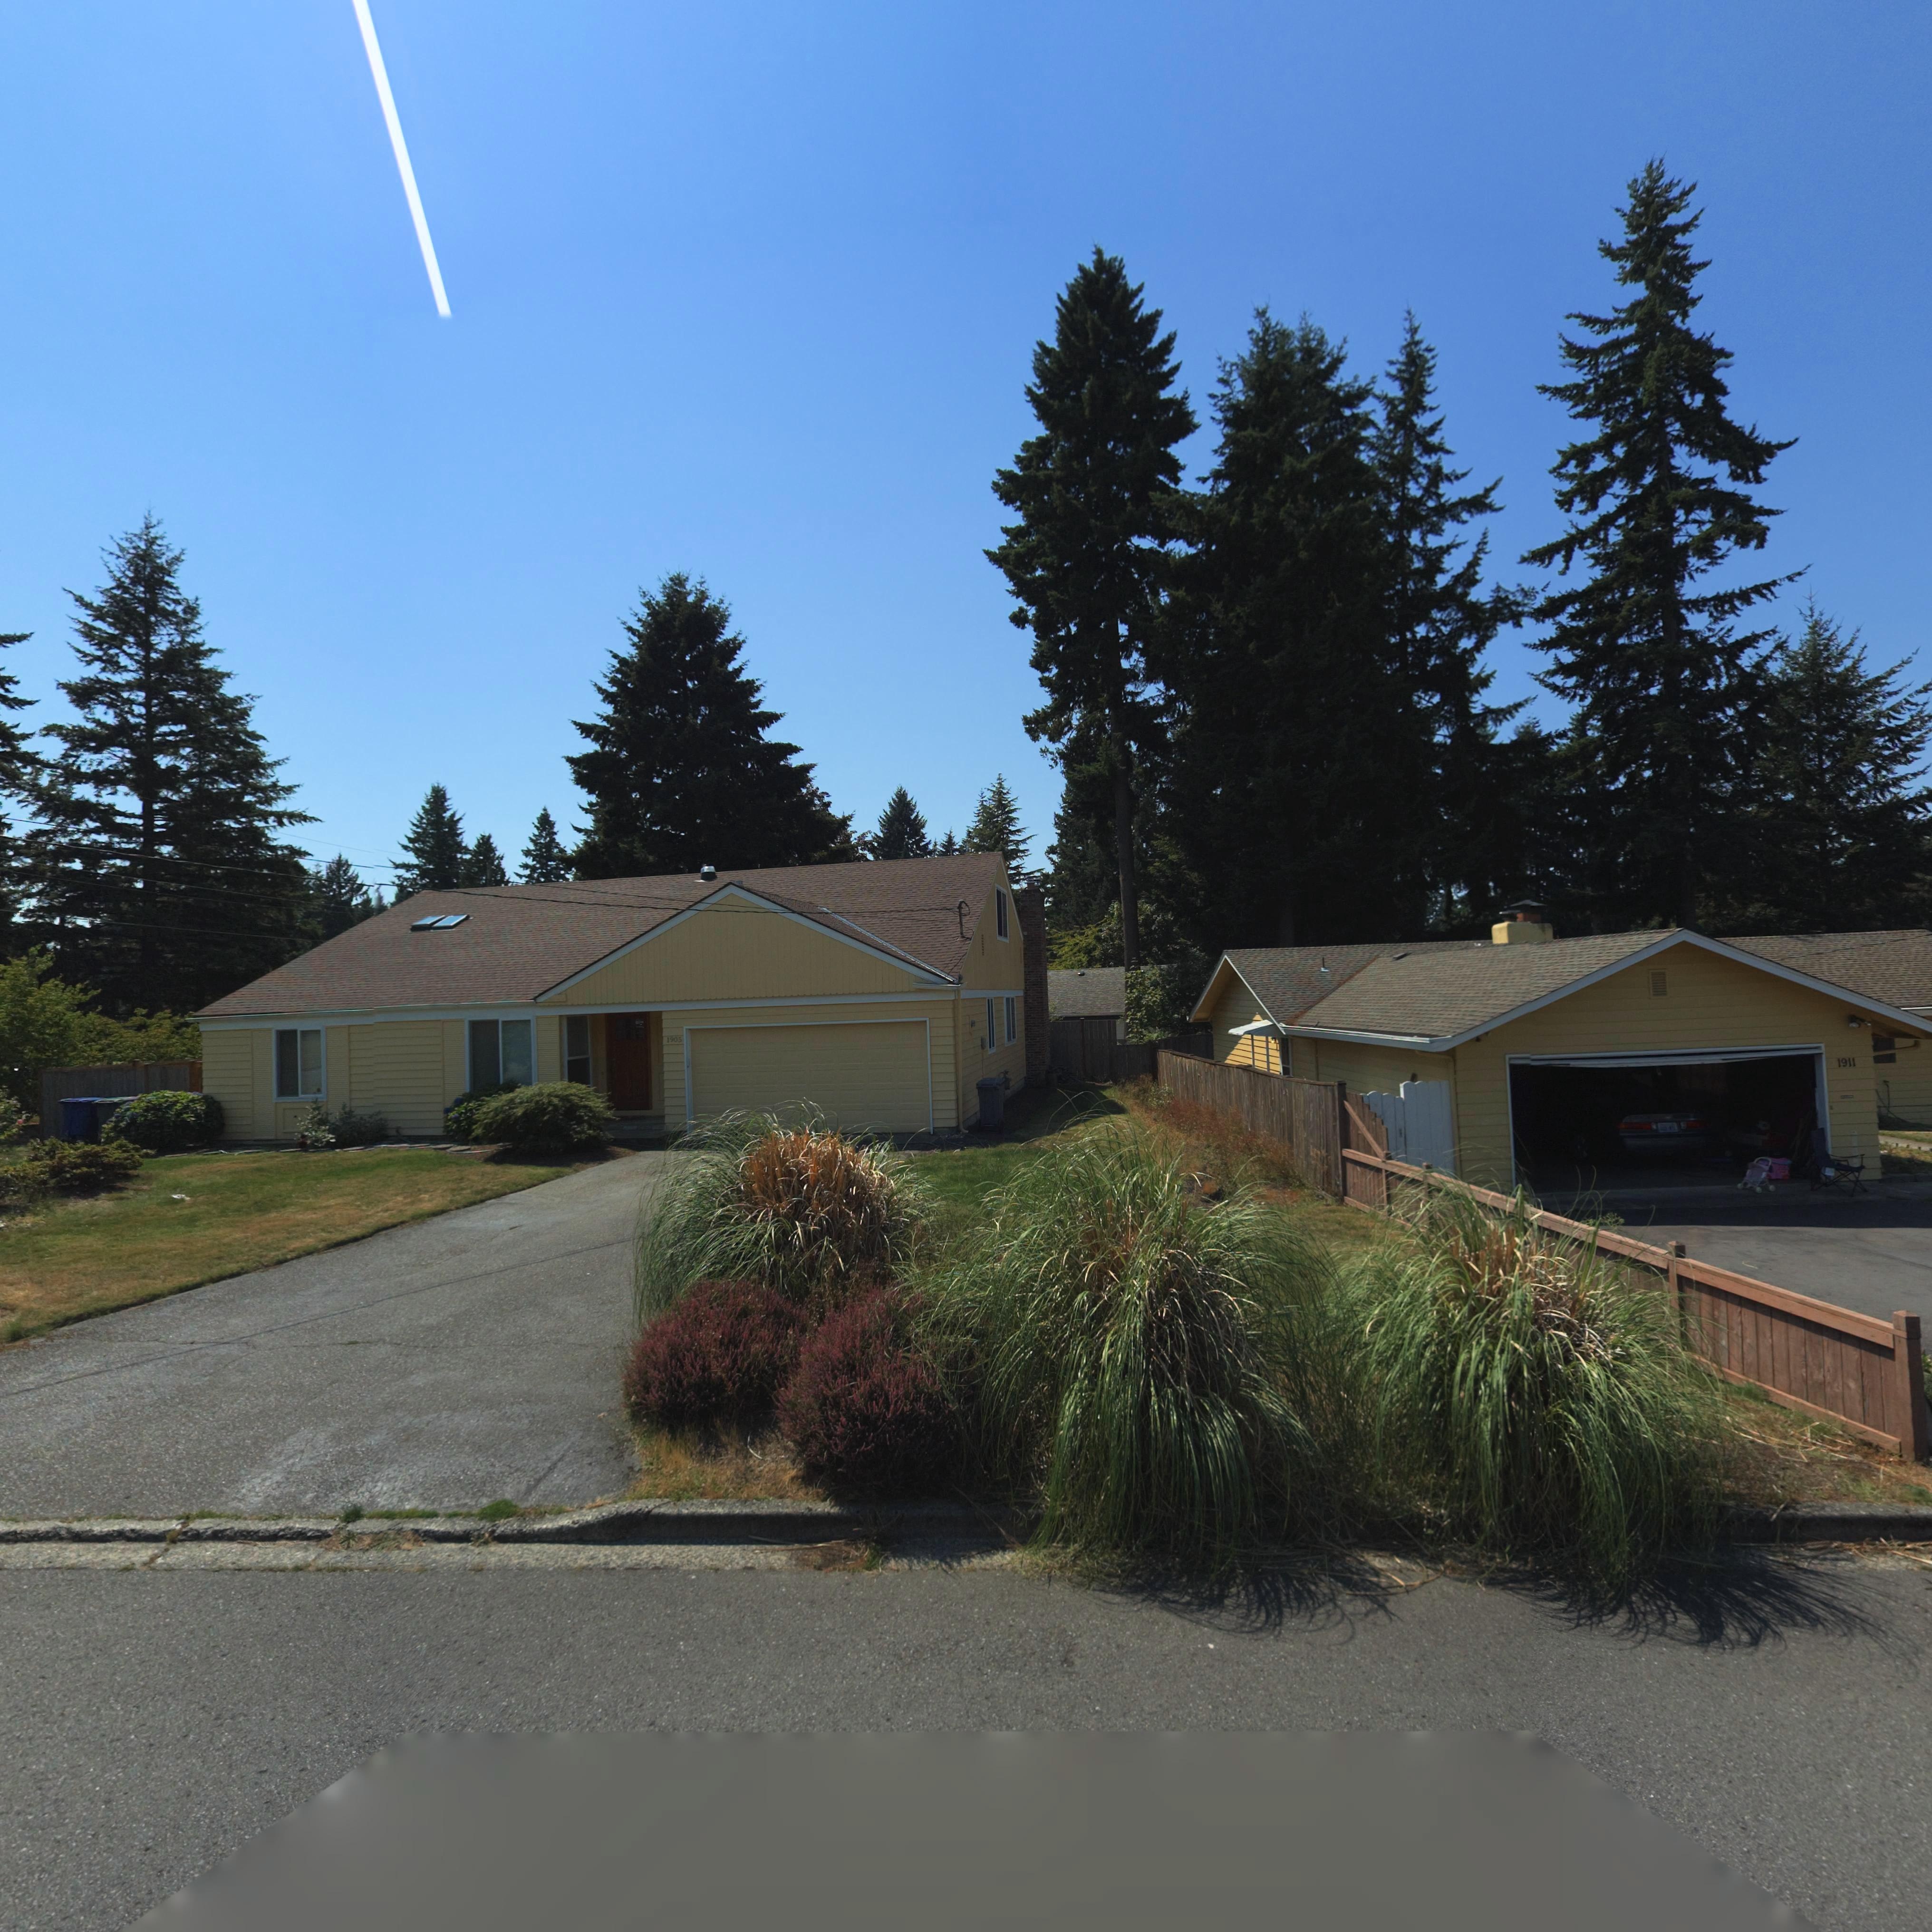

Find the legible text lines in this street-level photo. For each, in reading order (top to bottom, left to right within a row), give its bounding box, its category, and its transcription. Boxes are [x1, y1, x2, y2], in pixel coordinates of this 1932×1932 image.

[667, 1036, 682, 1043] StreetNumber: 1905
[1836, 1057, 1856, 1068] BusinessName: 1911